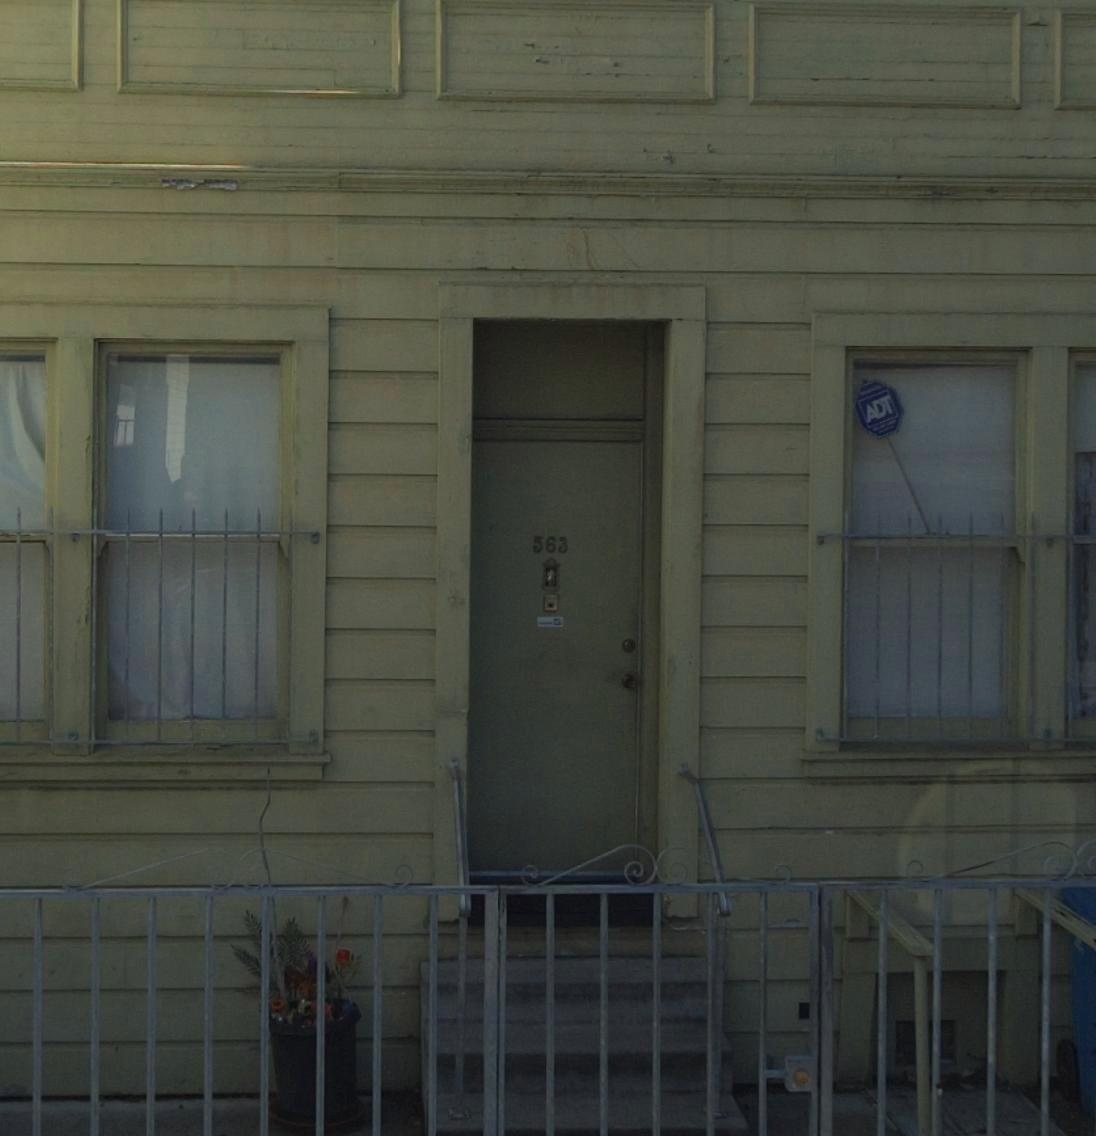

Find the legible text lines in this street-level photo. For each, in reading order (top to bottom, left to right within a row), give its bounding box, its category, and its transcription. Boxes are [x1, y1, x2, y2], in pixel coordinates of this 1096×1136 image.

[864, 391, 896, 425] None: ADT
[531, 534, 570, 555] StreetNumber: 563